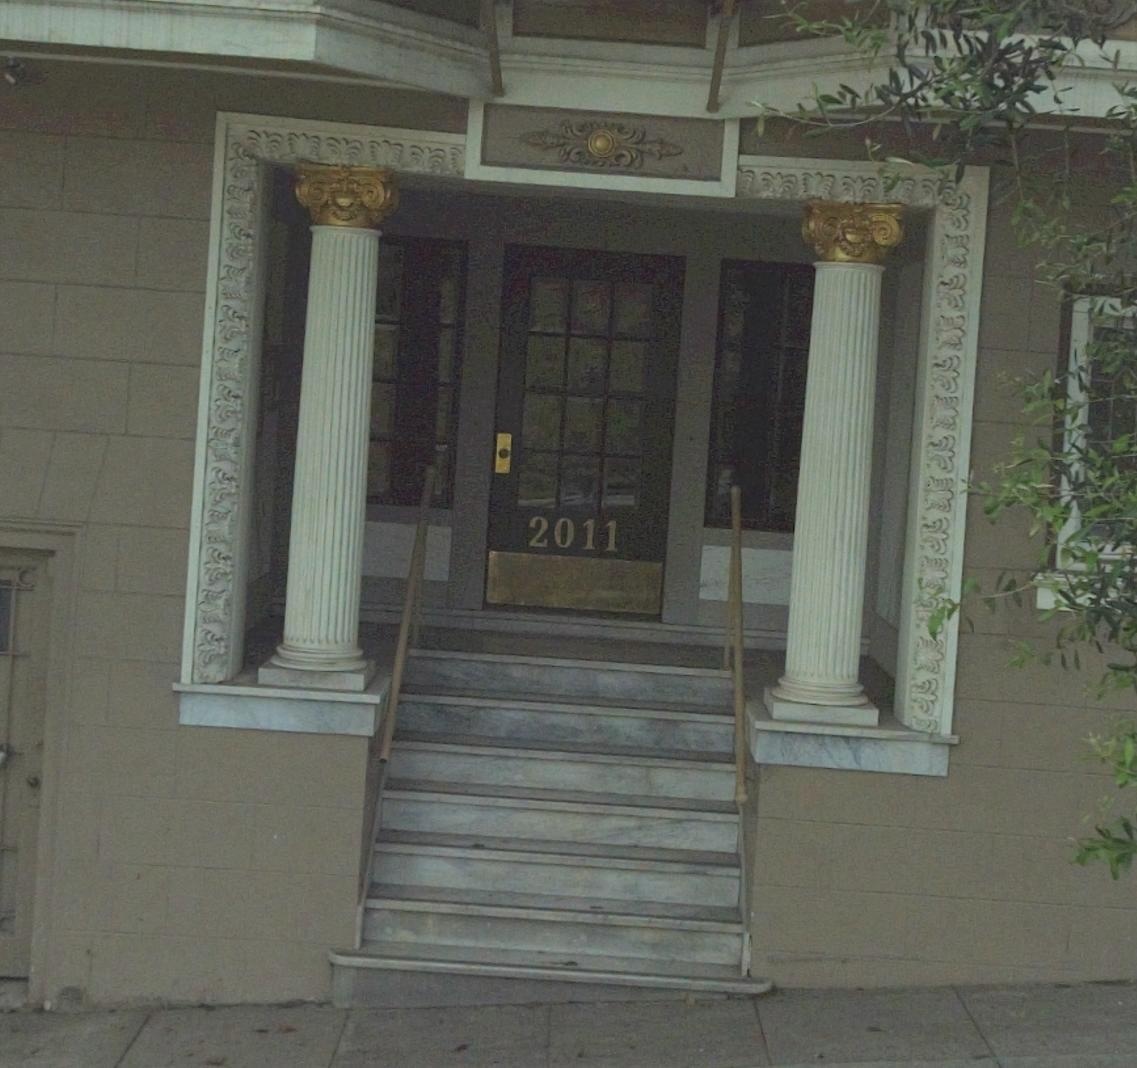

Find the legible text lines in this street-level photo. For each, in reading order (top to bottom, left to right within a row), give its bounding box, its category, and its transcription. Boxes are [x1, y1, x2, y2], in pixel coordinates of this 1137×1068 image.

[525, 514, 621, 554] StreetNumber: 2011